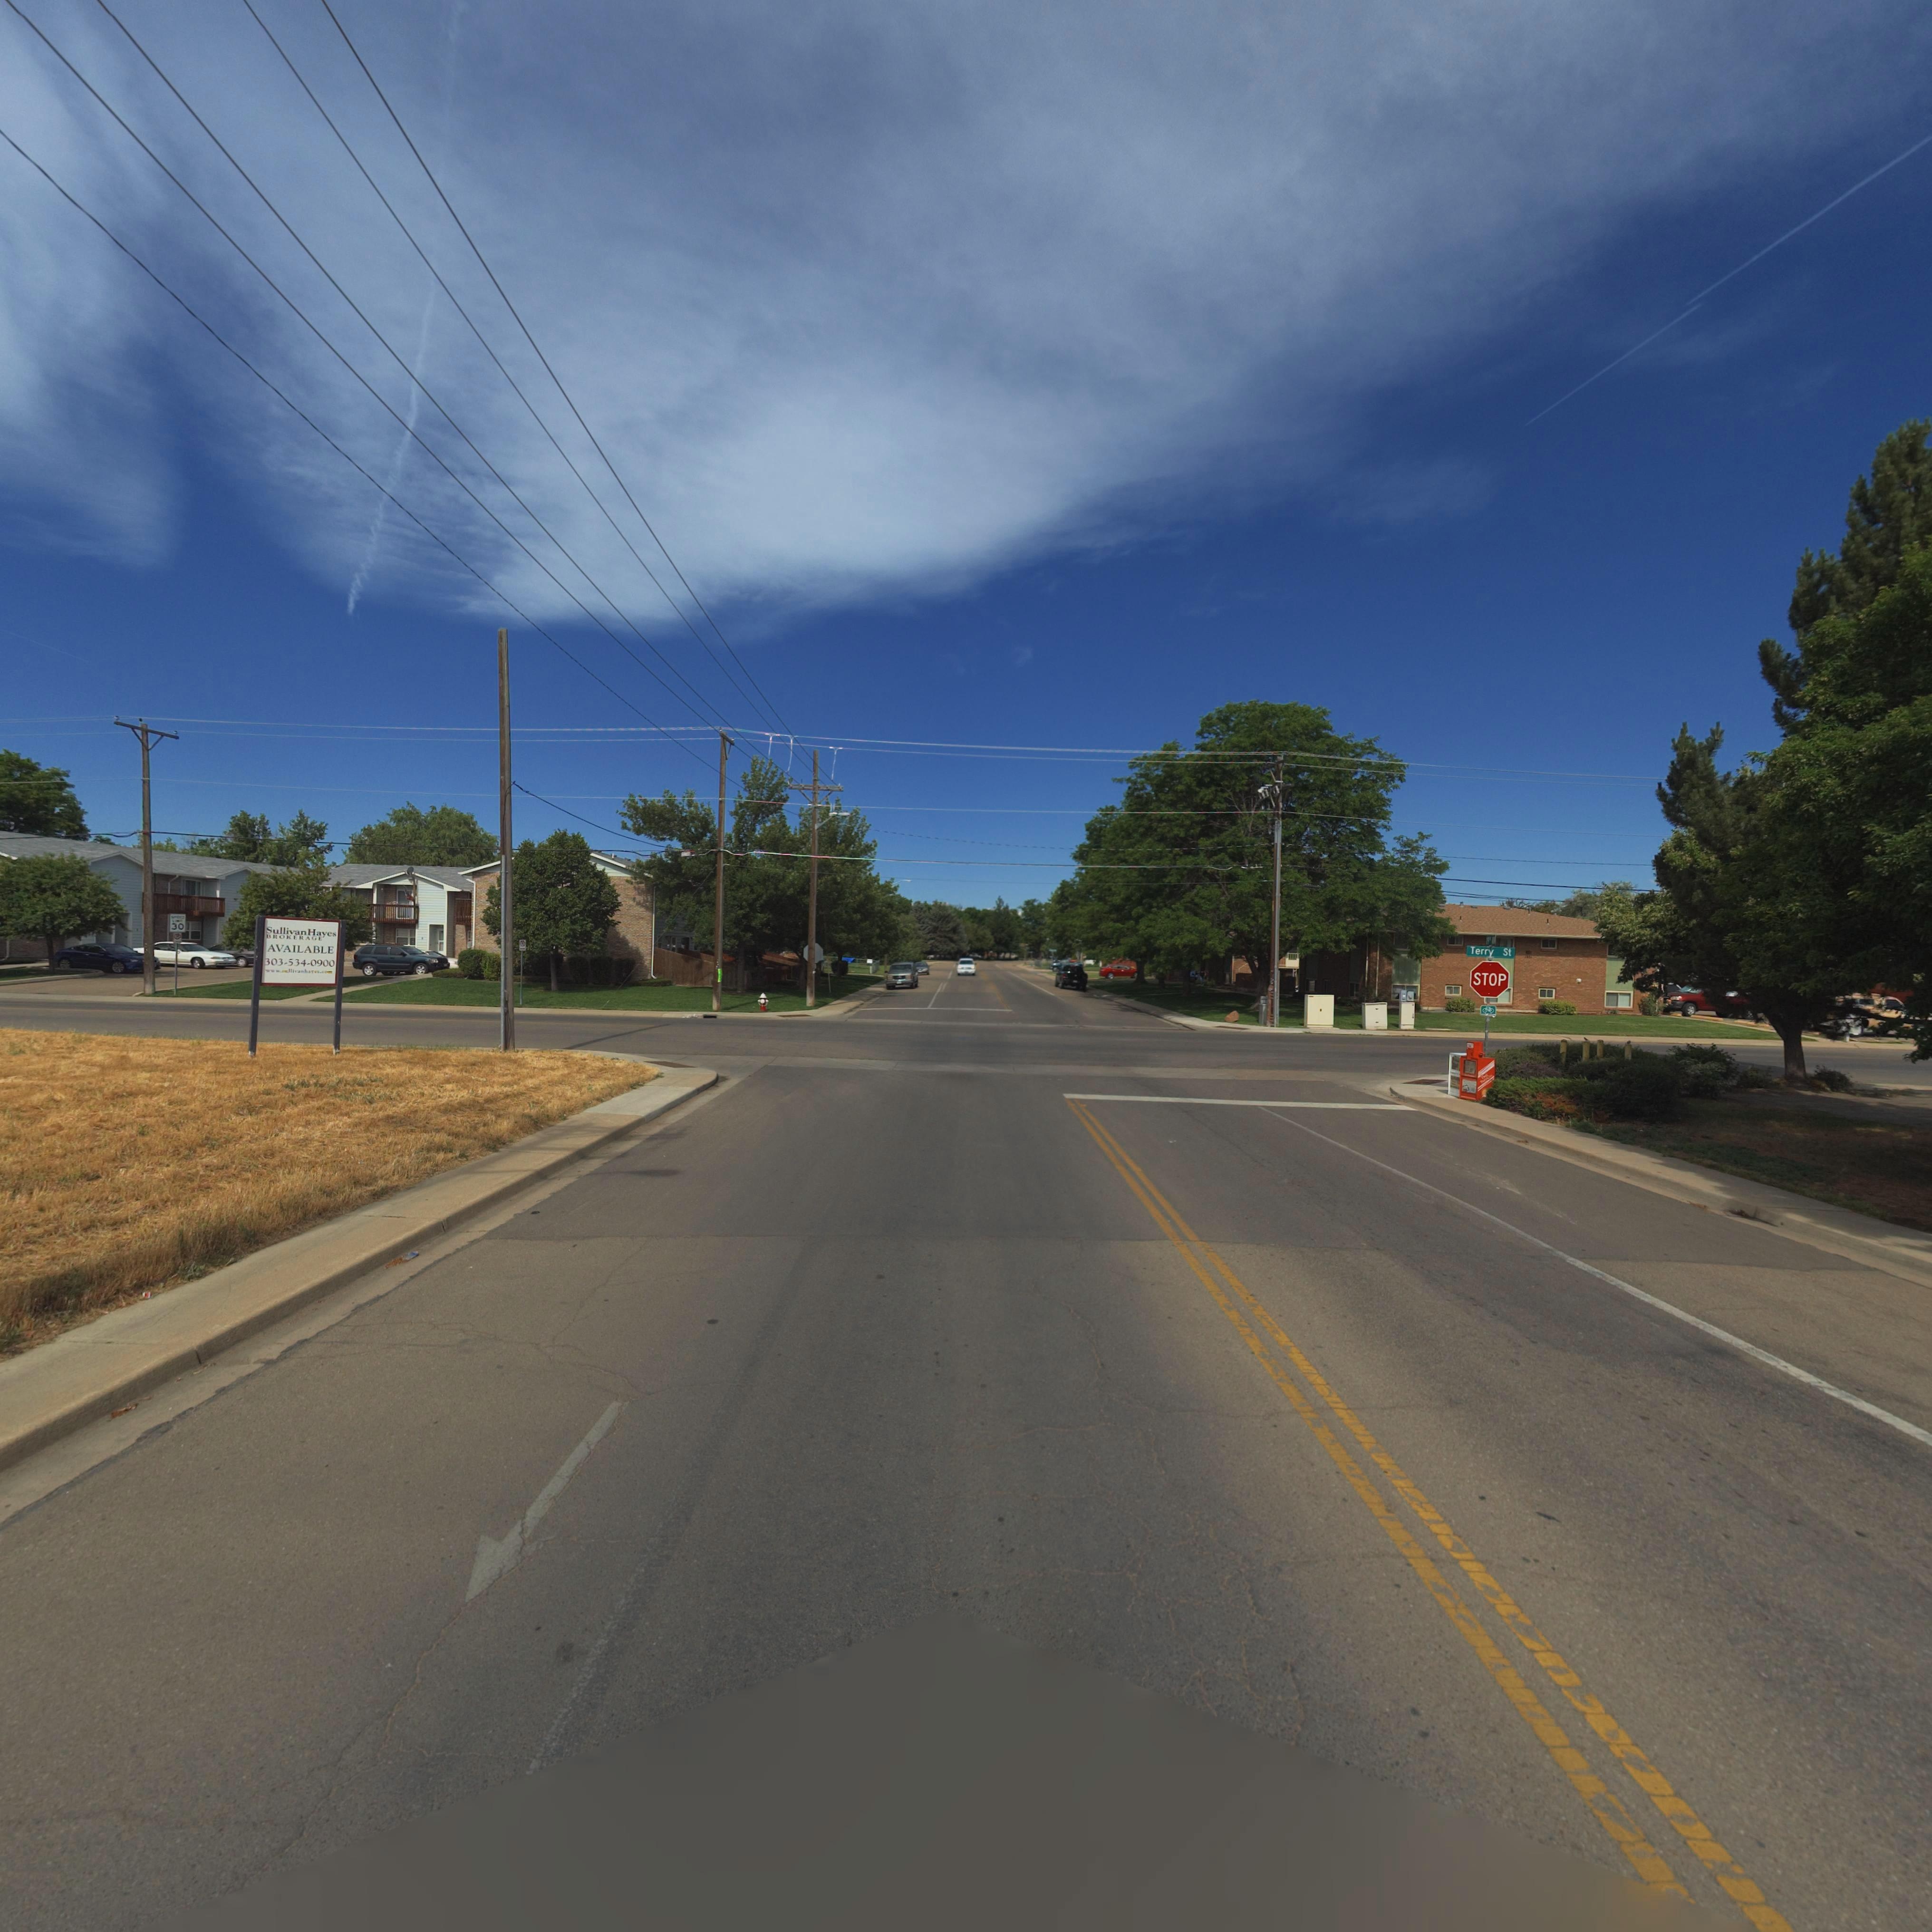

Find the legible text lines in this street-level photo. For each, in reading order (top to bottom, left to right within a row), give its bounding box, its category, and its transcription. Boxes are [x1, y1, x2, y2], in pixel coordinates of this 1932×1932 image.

[1486, 936, 1496, 945] StreetName: 19** **
[1470, 946, 1512, 957] StreetName: Terry St